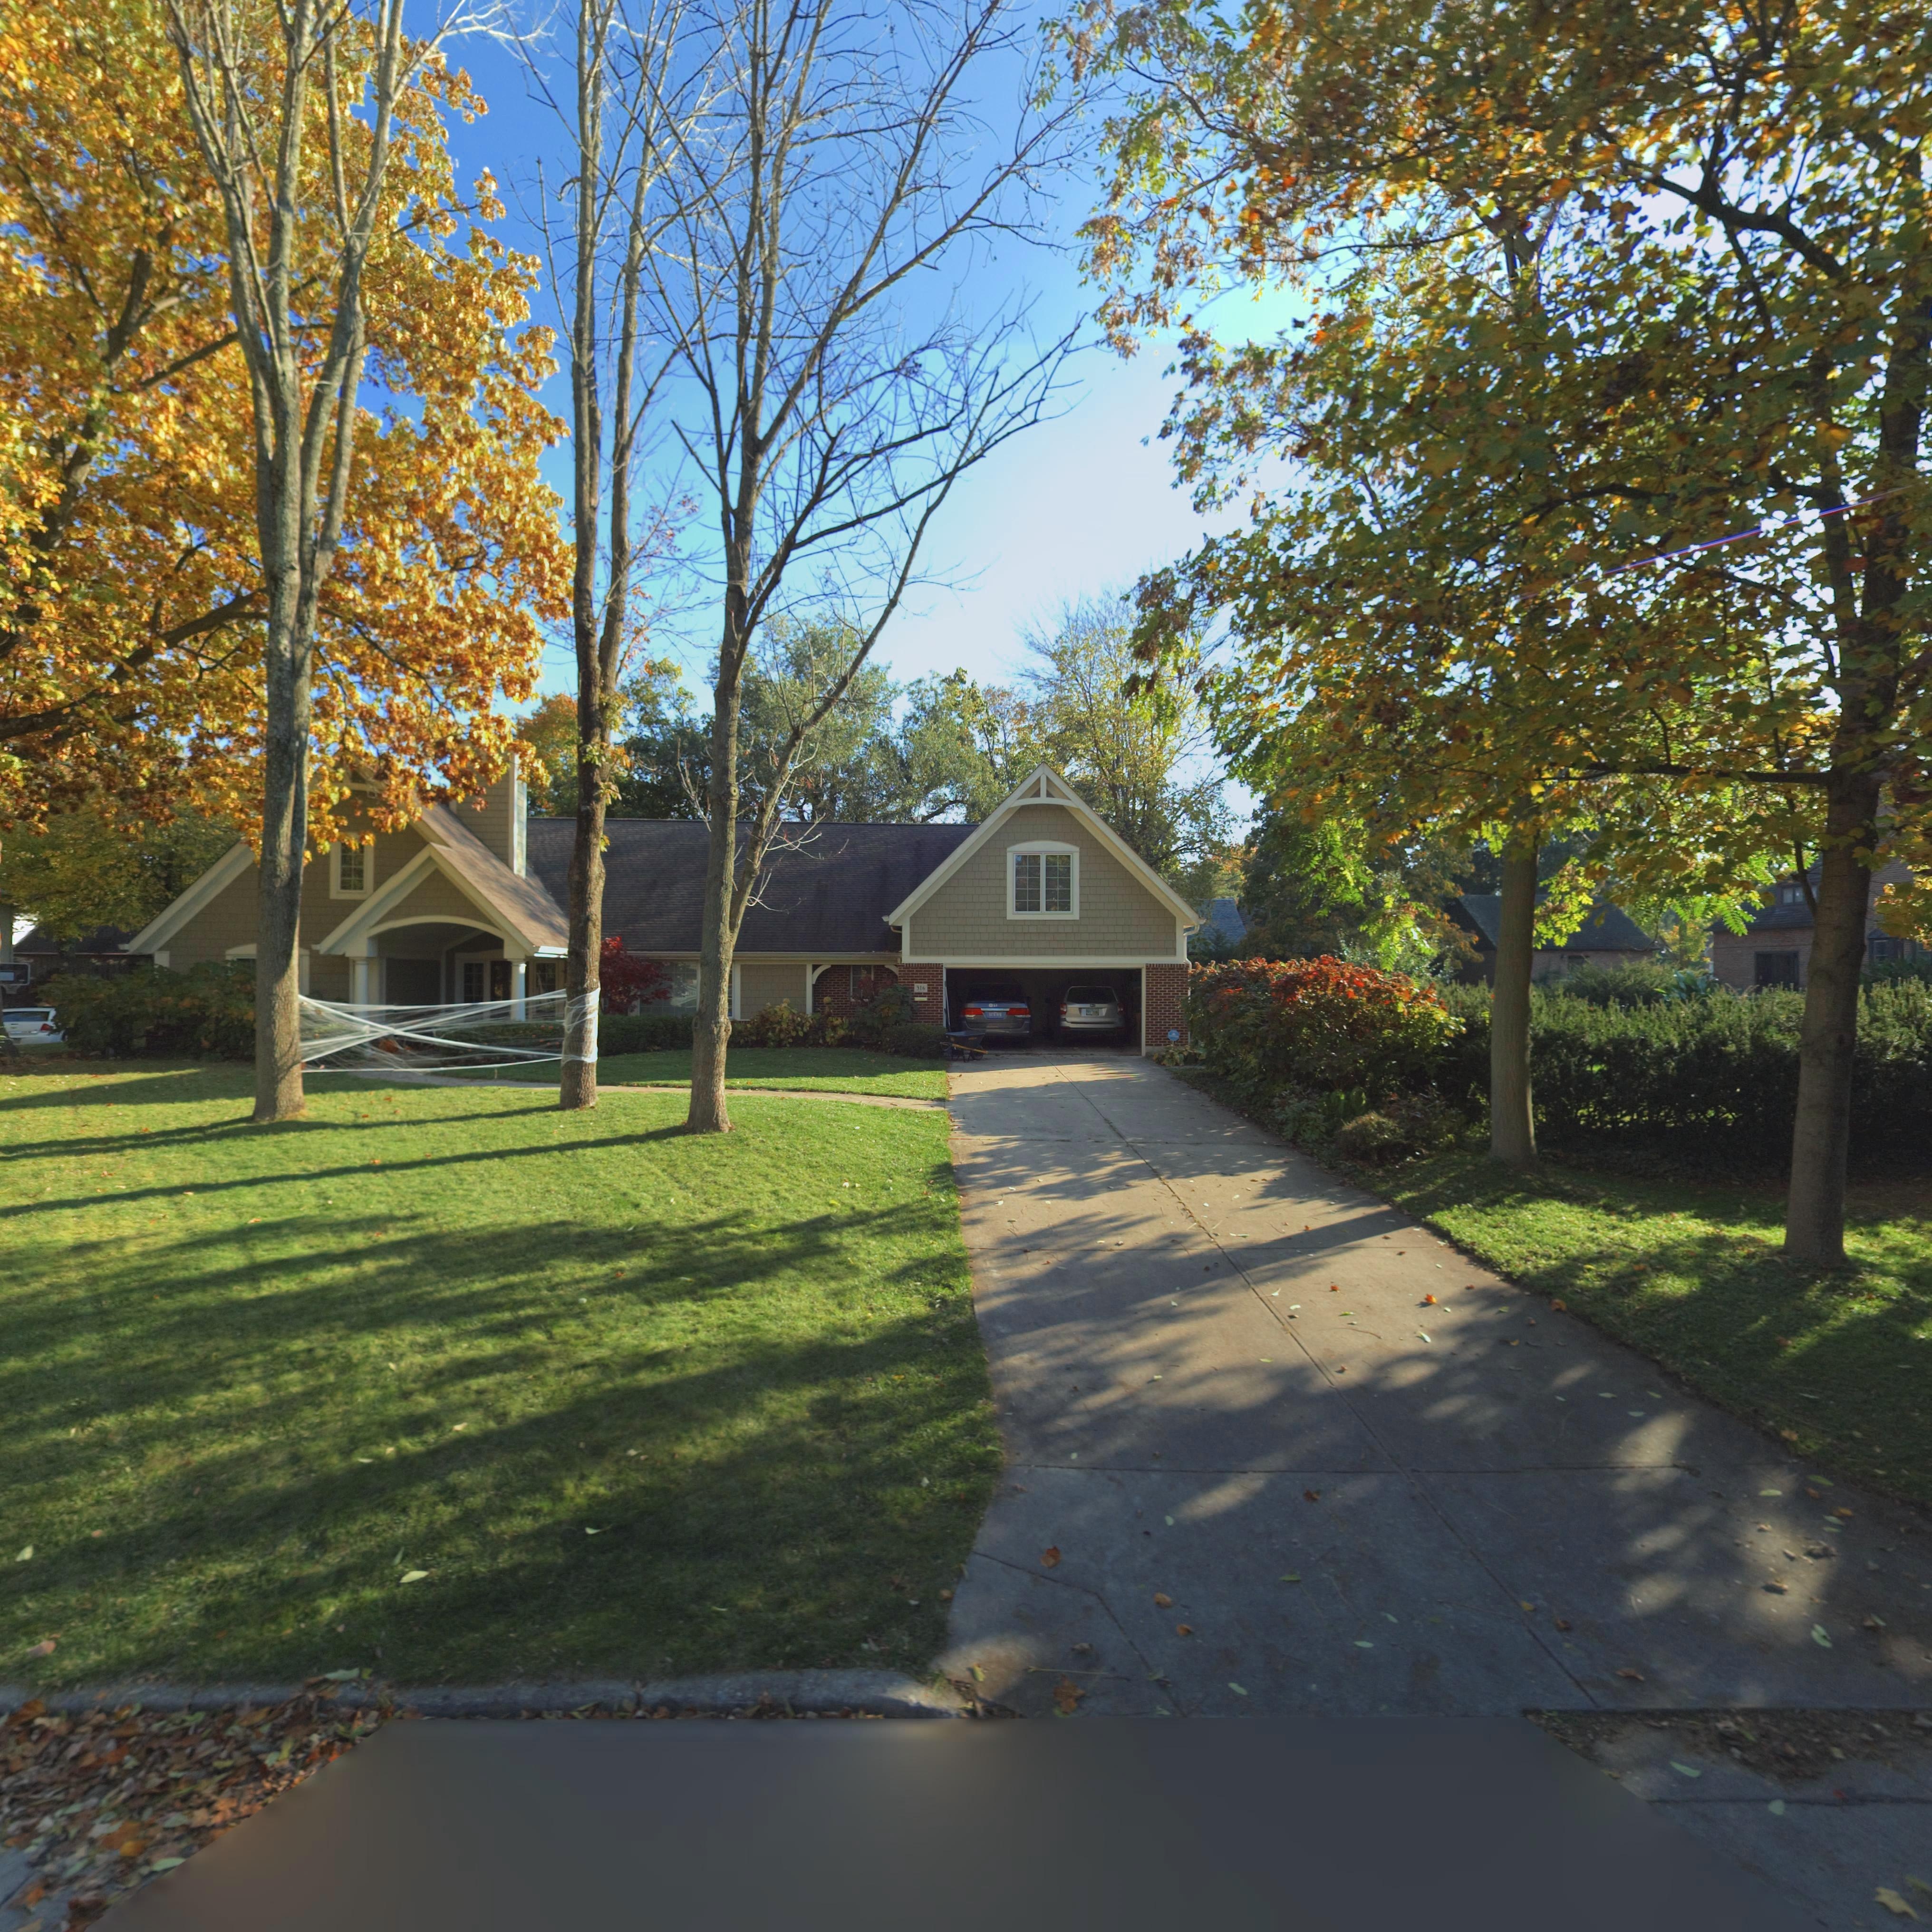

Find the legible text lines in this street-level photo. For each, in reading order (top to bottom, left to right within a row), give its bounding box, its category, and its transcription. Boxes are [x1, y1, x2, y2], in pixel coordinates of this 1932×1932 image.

[916, 984, 927, 992] StreetNumber: 316